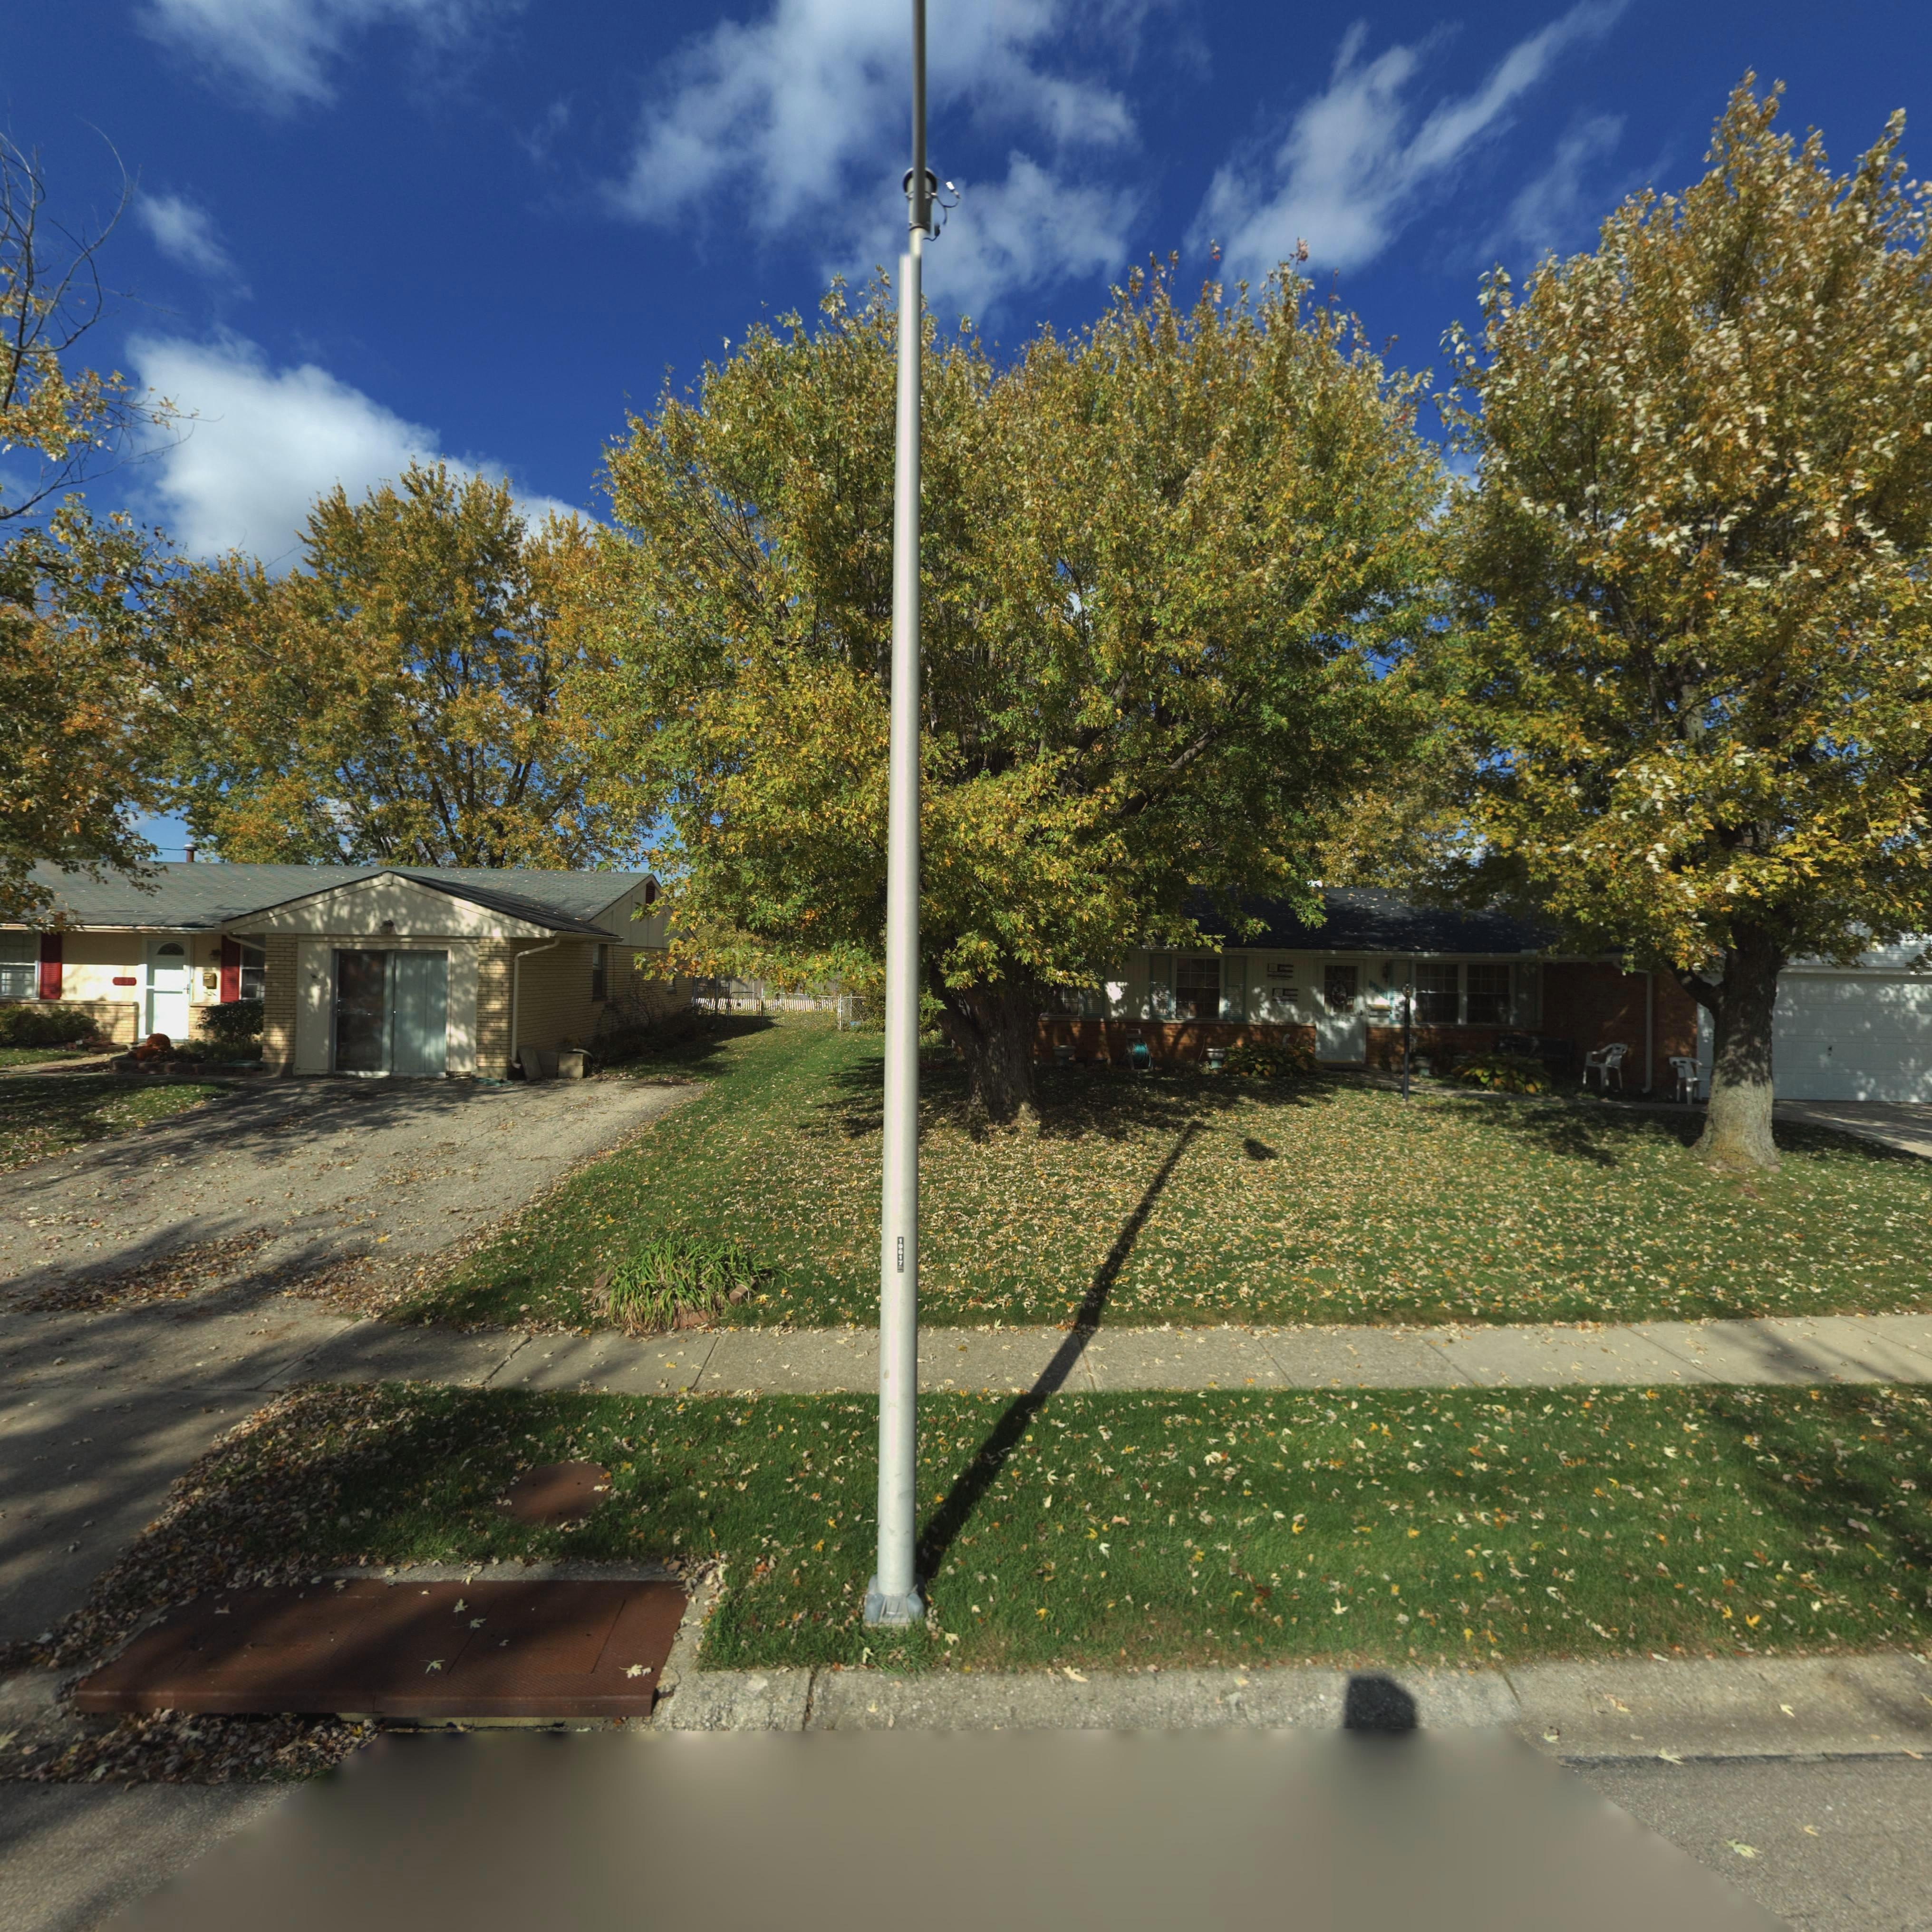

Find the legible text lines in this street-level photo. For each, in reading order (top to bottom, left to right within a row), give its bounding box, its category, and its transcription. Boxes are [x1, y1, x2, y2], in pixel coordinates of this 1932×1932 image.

[114, 978, 133, 985] StreetNumber: 763*
[1372, 982, 1386, 999] StreetNumber: 763*